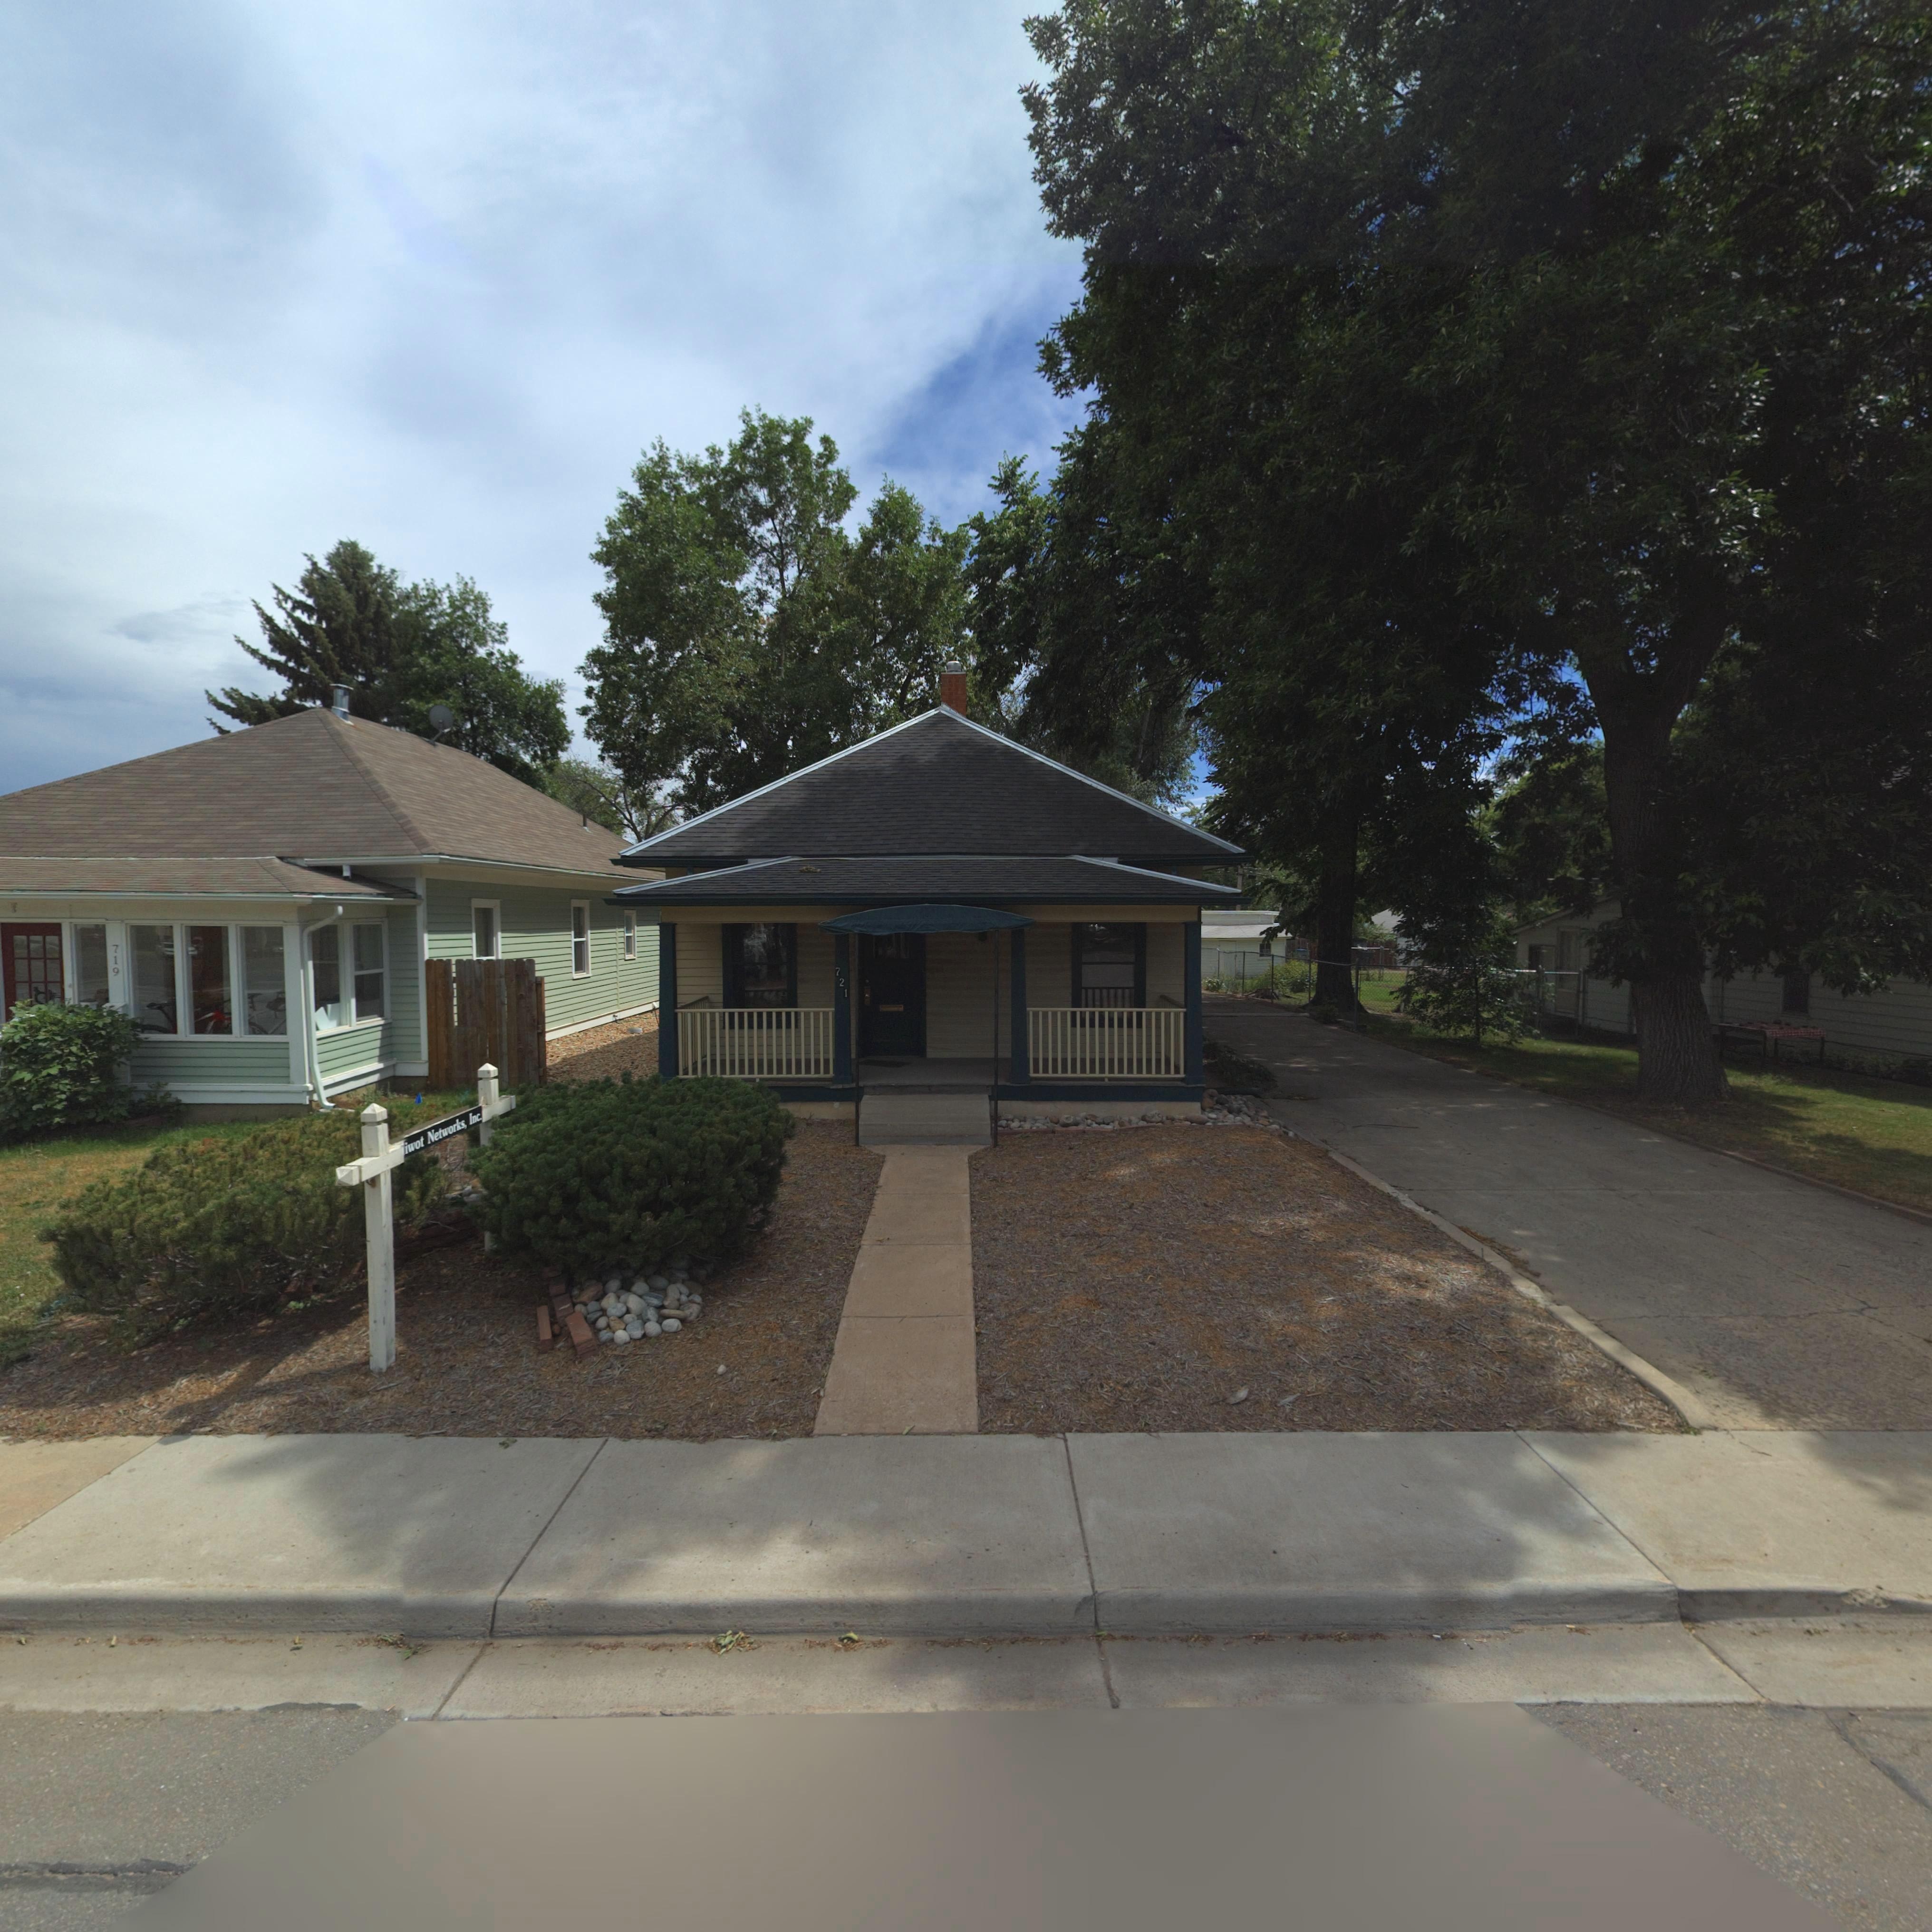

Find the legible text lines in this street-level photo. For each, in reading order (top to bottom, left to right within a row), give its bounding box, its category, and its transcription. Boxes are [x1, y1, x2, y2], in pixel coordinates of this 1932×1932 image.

[112, 944, 119, 976] StreetNumber: 719
[835, 967, 847, 997] StreetNumber: 721
[404, 1112, 482, 1155] BusinessName: iwot Networks, Inc.